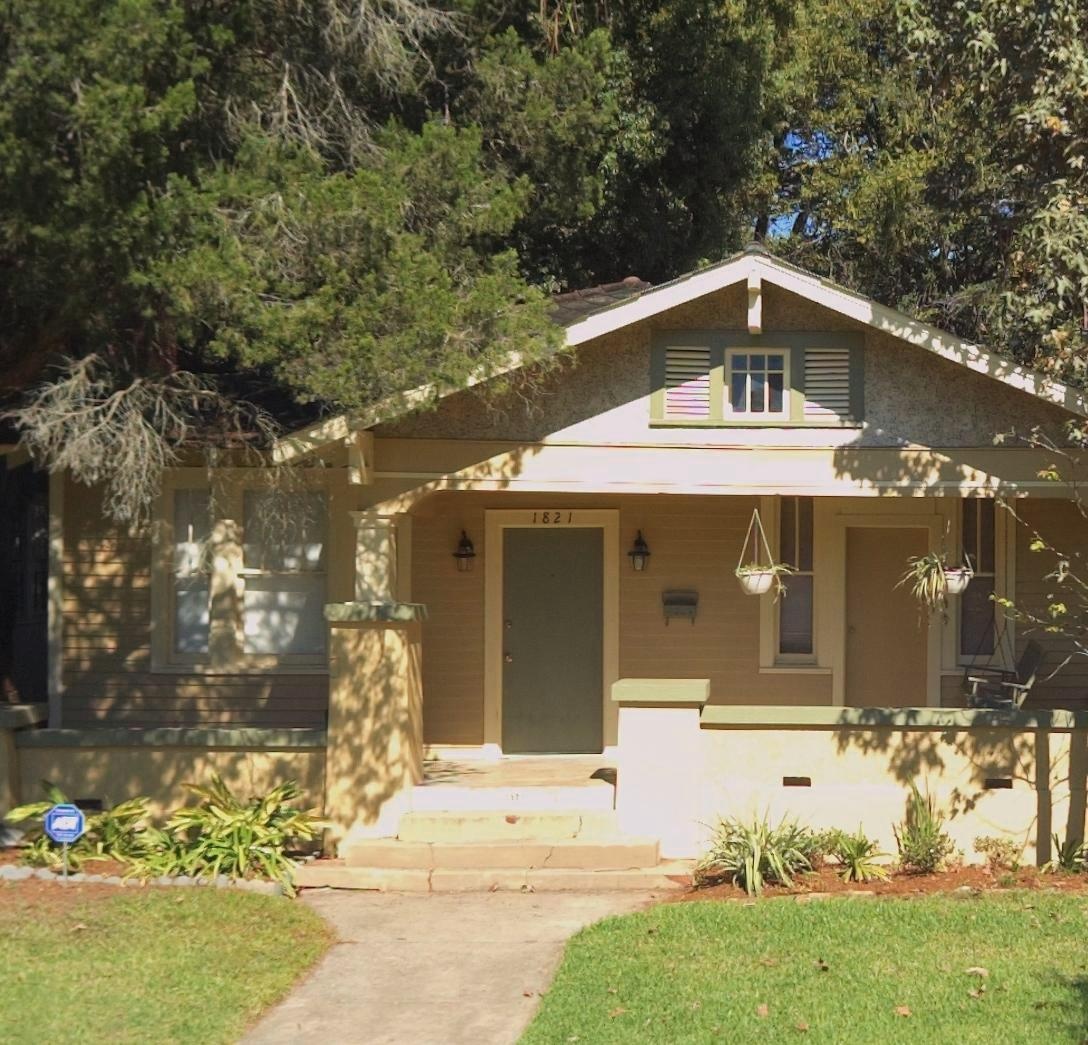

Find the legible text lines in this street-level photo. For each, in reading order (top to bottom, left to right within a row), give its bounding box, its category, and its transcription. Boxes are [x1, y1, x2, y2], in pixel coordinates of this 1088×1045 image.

[531, 509, 574, 526] StreetNumber: 1821